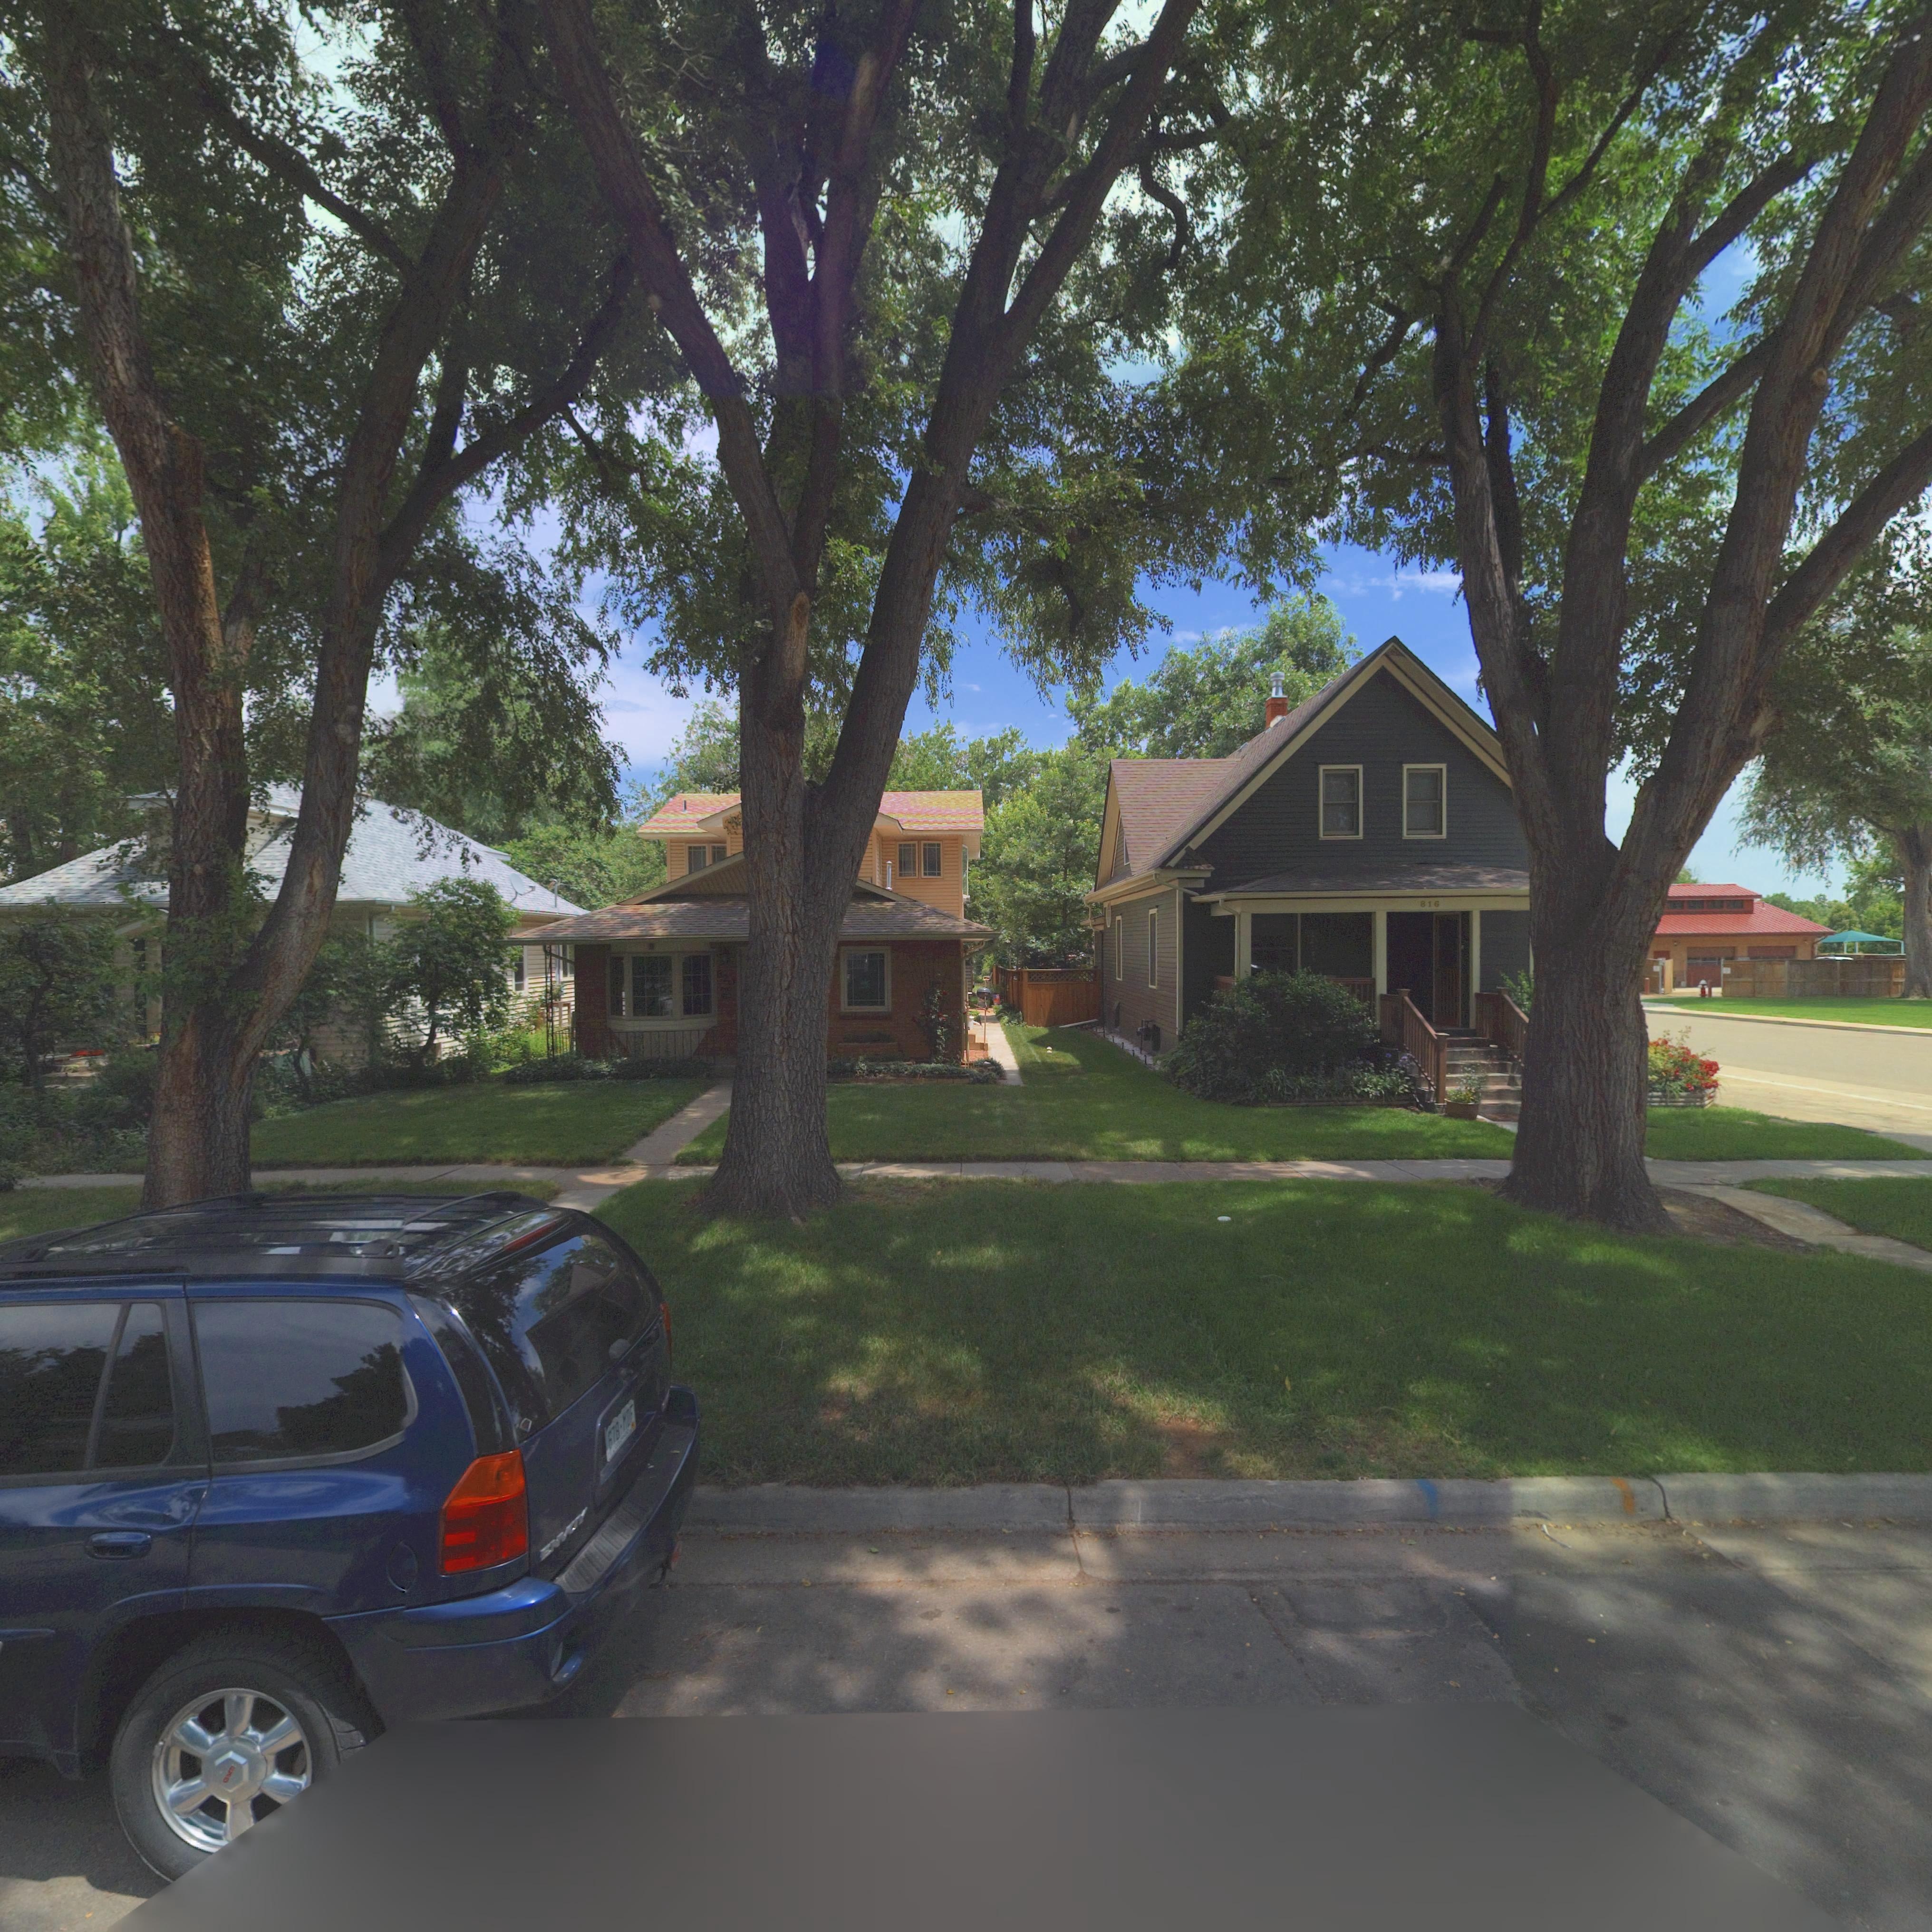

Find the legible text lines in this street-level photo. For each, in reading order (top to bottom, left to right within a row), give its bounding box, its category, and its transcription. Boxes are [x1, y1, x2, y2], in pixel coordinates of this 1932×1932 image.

[1420, 900, 1439, 908] StreetNumber: 816